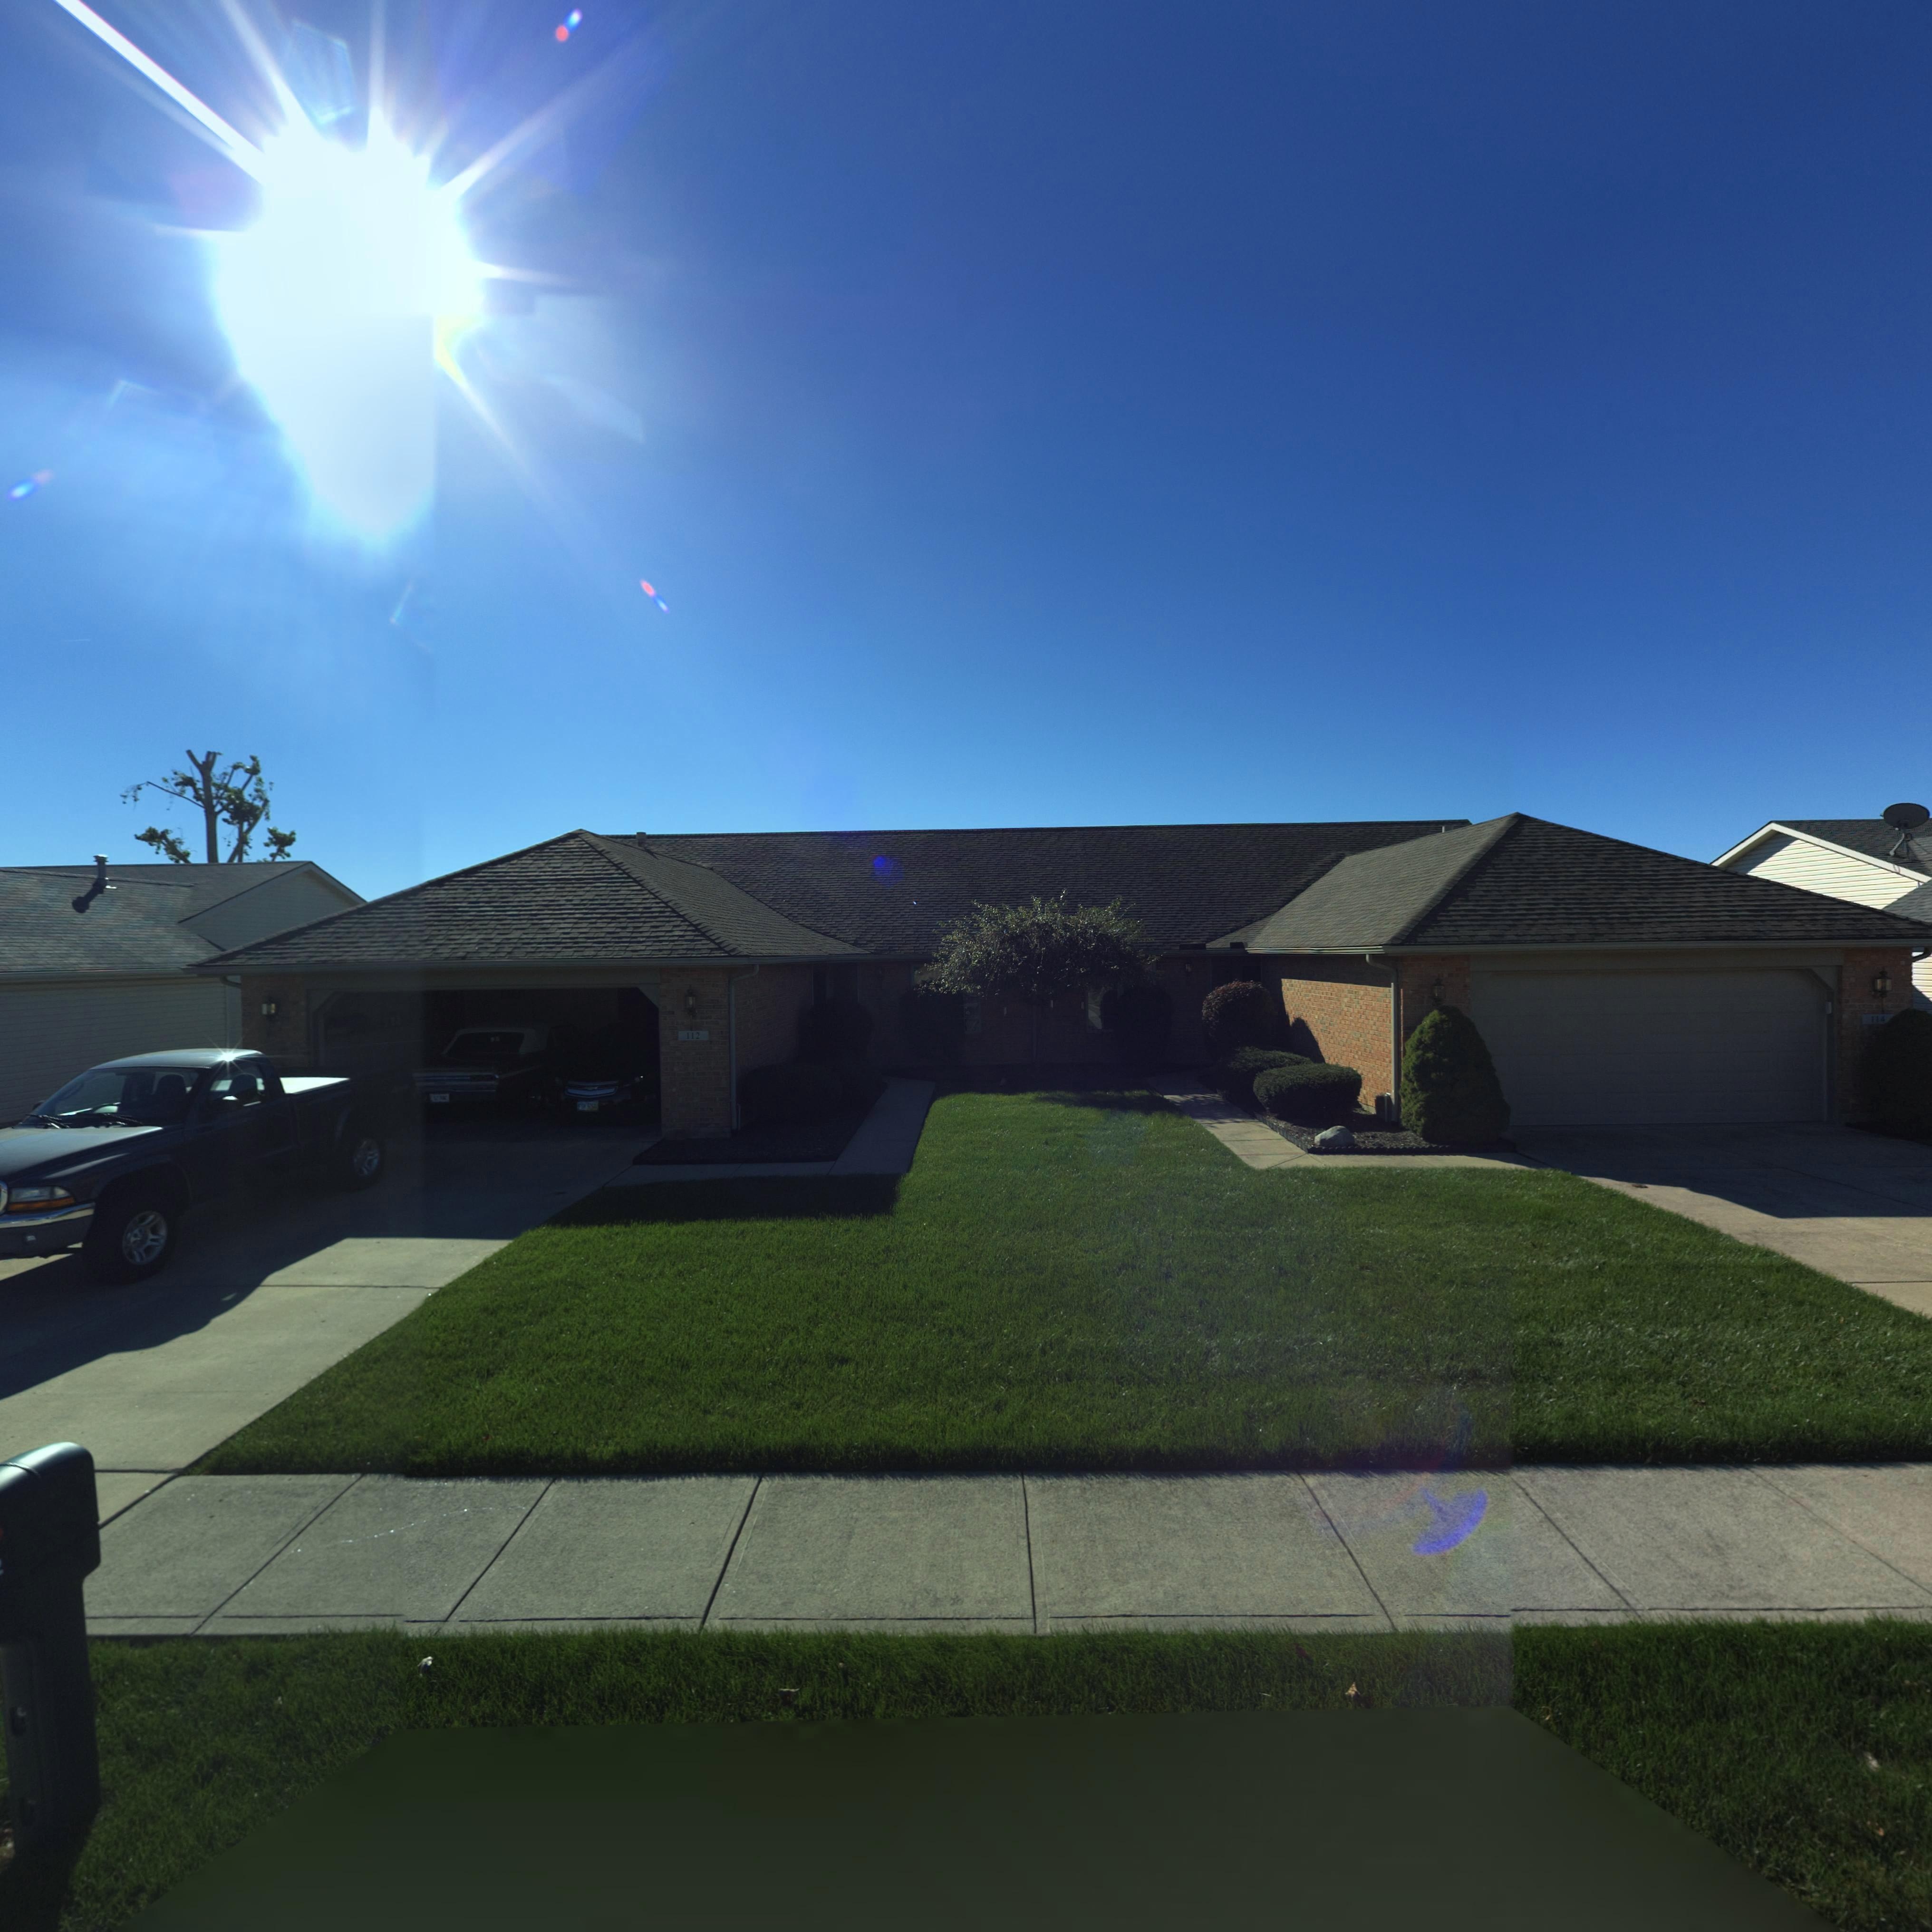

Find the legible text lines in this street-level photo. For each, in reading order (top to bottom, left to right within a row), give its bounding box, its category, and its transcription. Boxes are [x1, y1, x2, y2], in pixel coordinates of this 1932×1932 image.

[1870, 1014, 1886, 1024] StreetNumber: 114
[686, 1032, 700, 1039] StreetNumber: 112